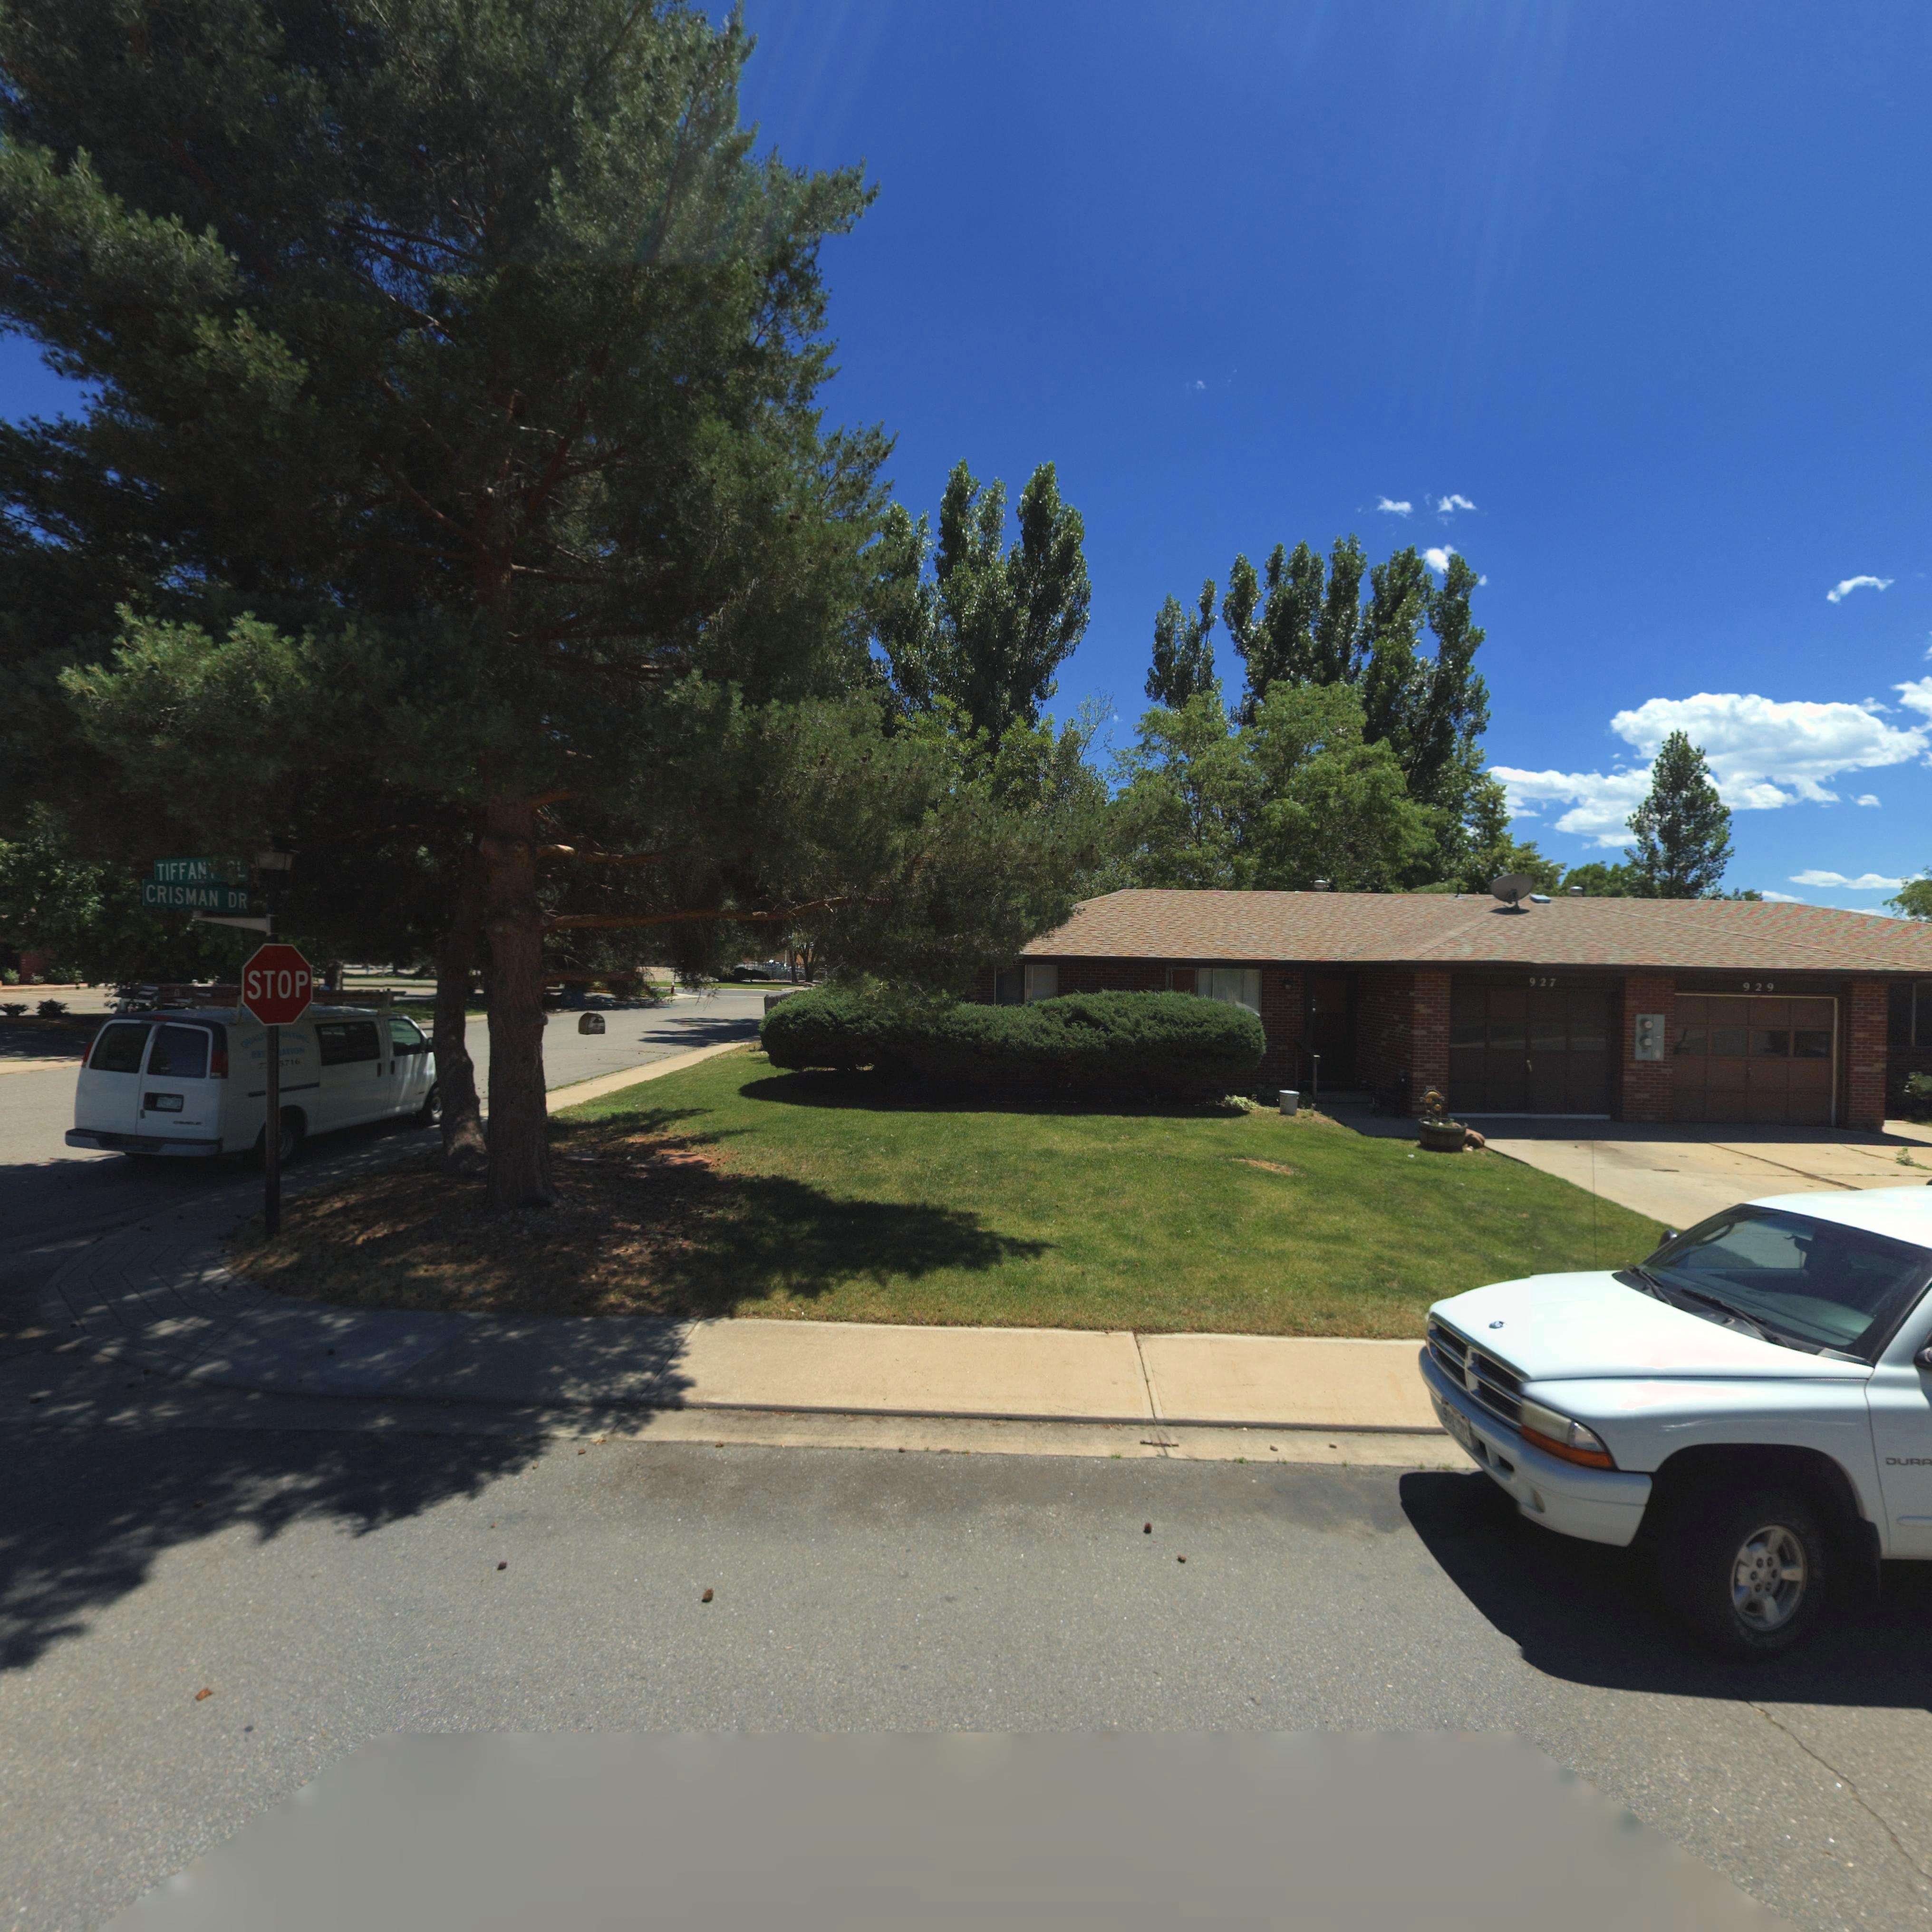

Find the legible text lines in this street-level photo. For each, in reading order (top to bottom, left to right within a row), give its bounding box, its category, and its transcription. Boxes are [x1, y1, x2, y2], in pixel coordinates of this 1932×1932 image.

[156, 861, 246, 881] StreetName: TIFFANY* *L
[145, 884, 247, 909] StreetName: CRISMAN DR
[1529, 977, 1557, 987] StreetNumber: 927
[1742, 982, 1774, 992] StreetNumber: 929